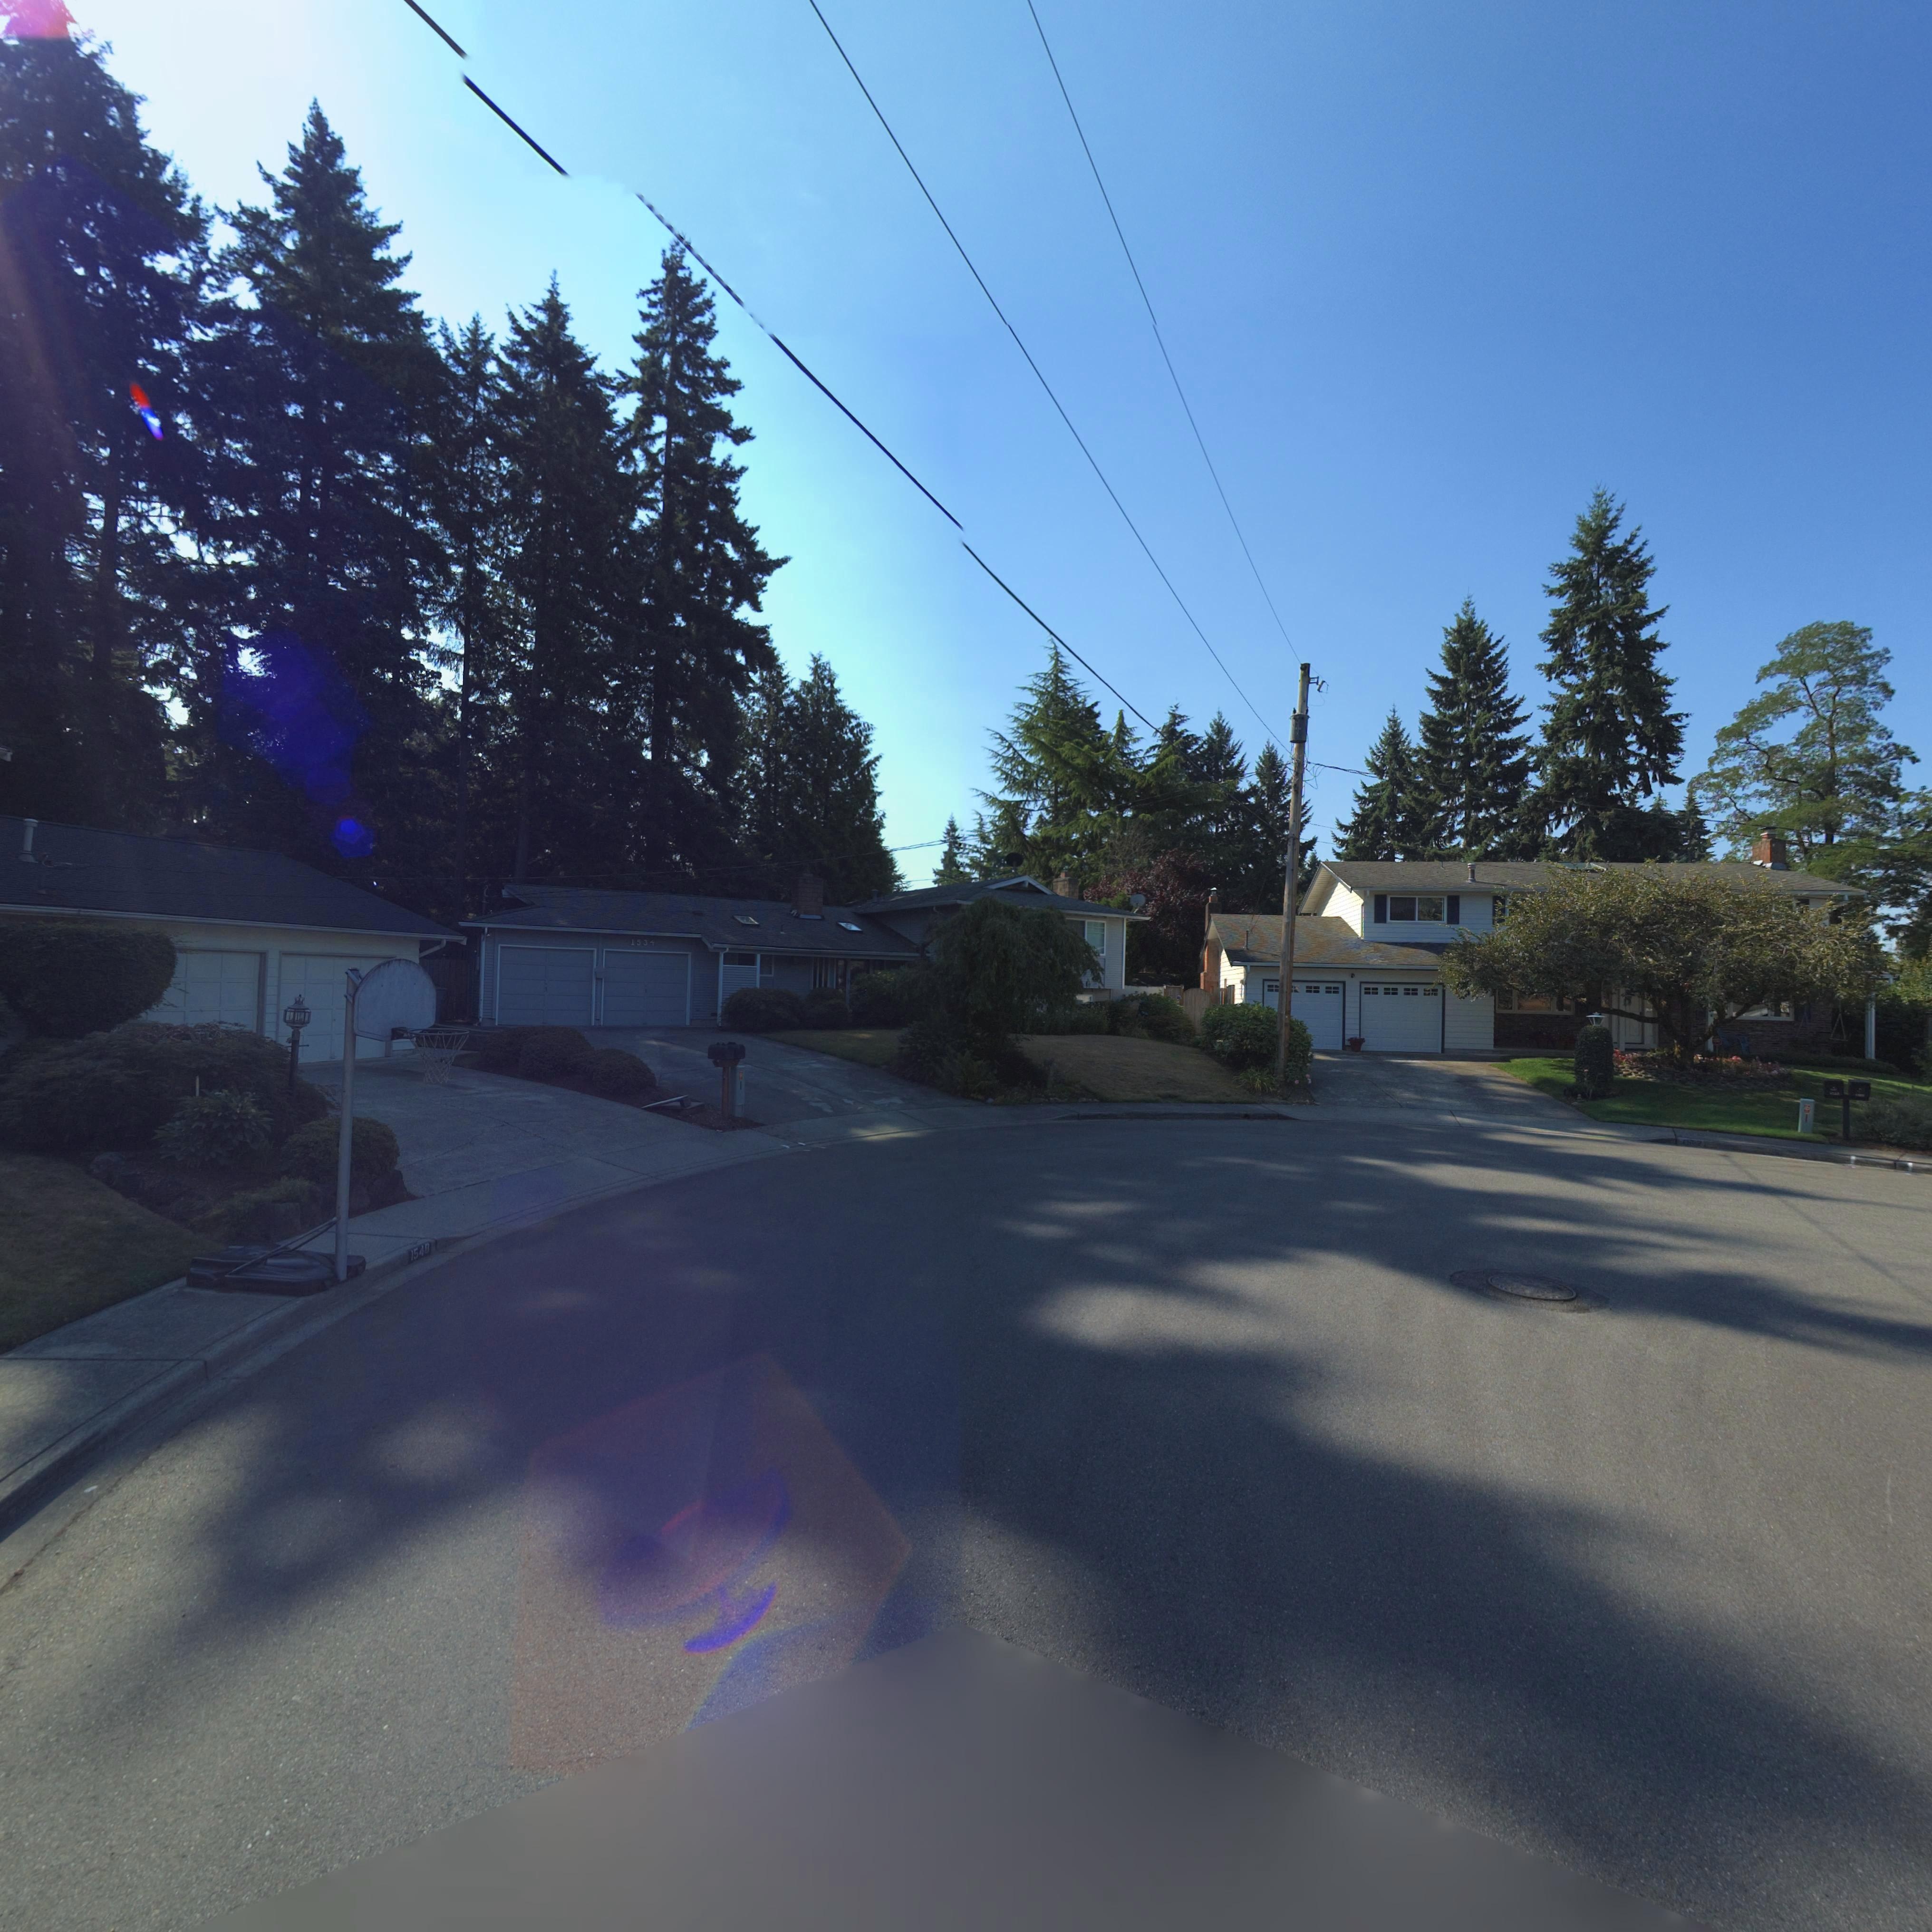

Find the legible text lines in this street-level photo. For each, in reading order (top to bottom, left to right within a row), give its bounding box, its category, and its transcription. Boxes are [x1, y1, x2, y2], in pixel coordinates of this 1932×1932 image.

[630, 938, 656, 946] StreetNumber: 1534
[409, 1241, 430, 1262] StreetNumber: 1540